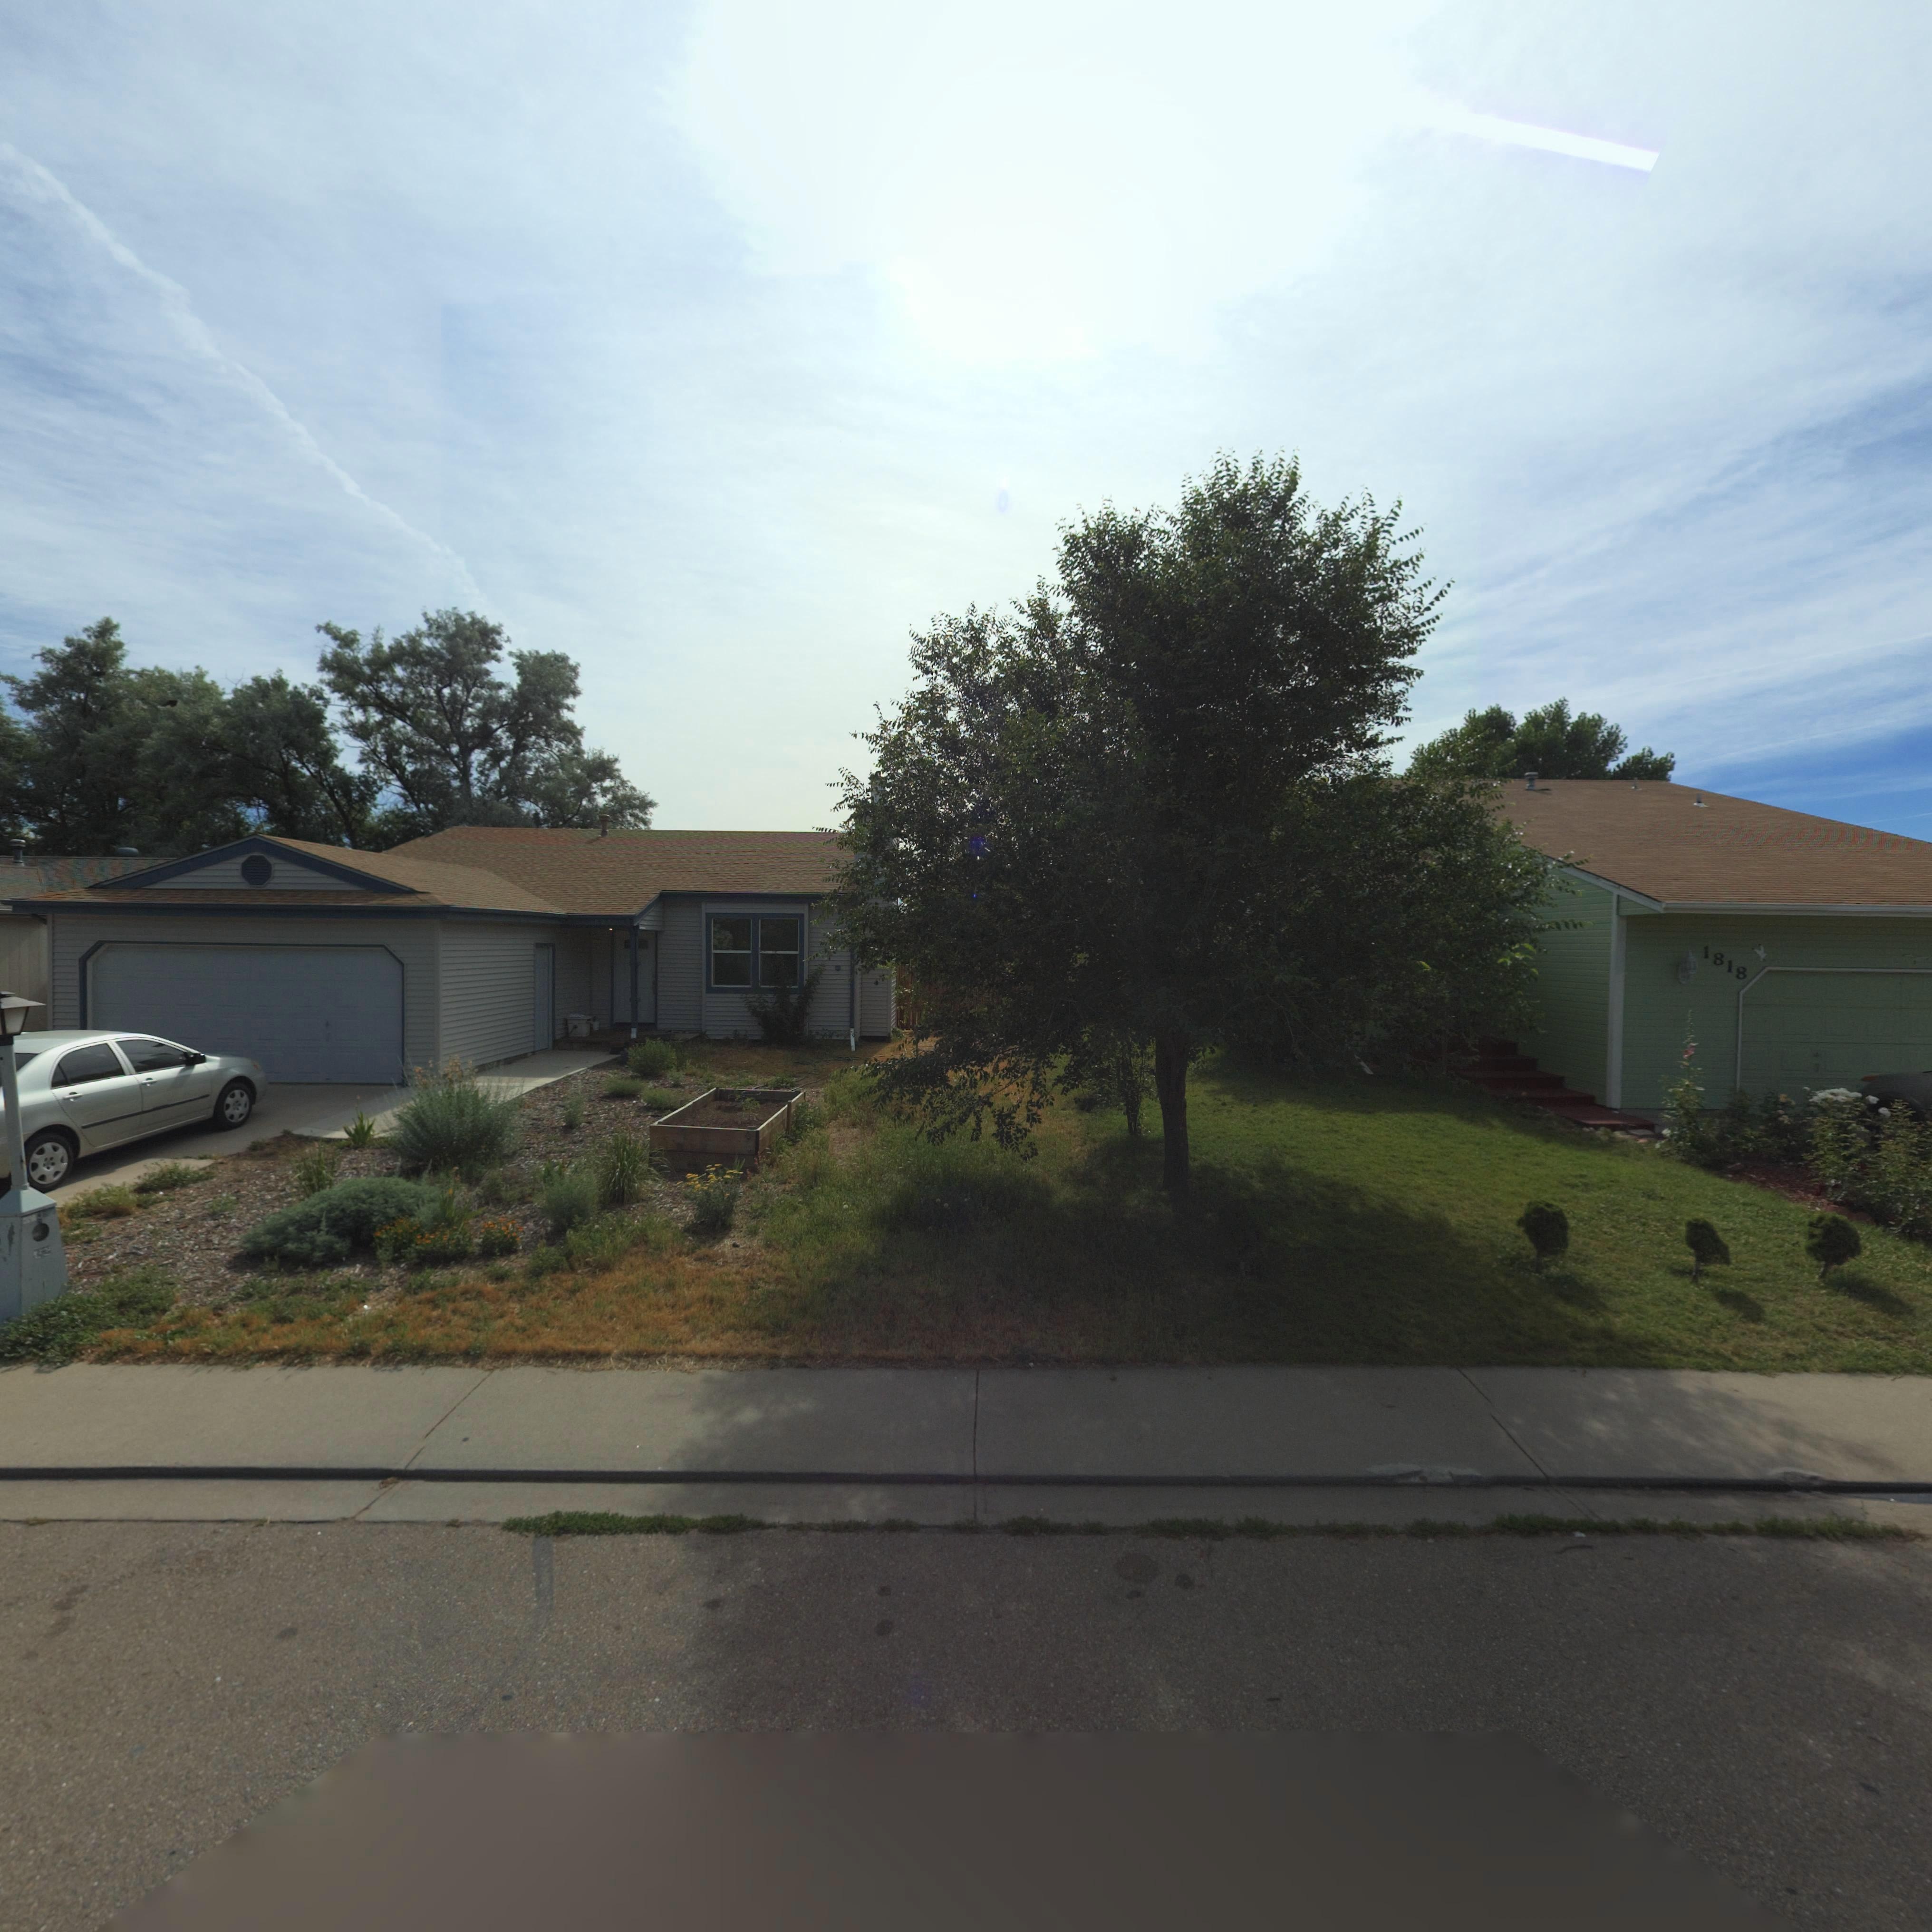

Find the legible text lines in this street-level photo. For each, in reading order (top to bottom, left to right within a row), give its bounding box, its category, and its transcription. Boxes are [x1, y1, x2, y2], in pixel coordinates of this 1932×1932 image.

[1703, 945, 1747, 980] StreetNumber: 1818